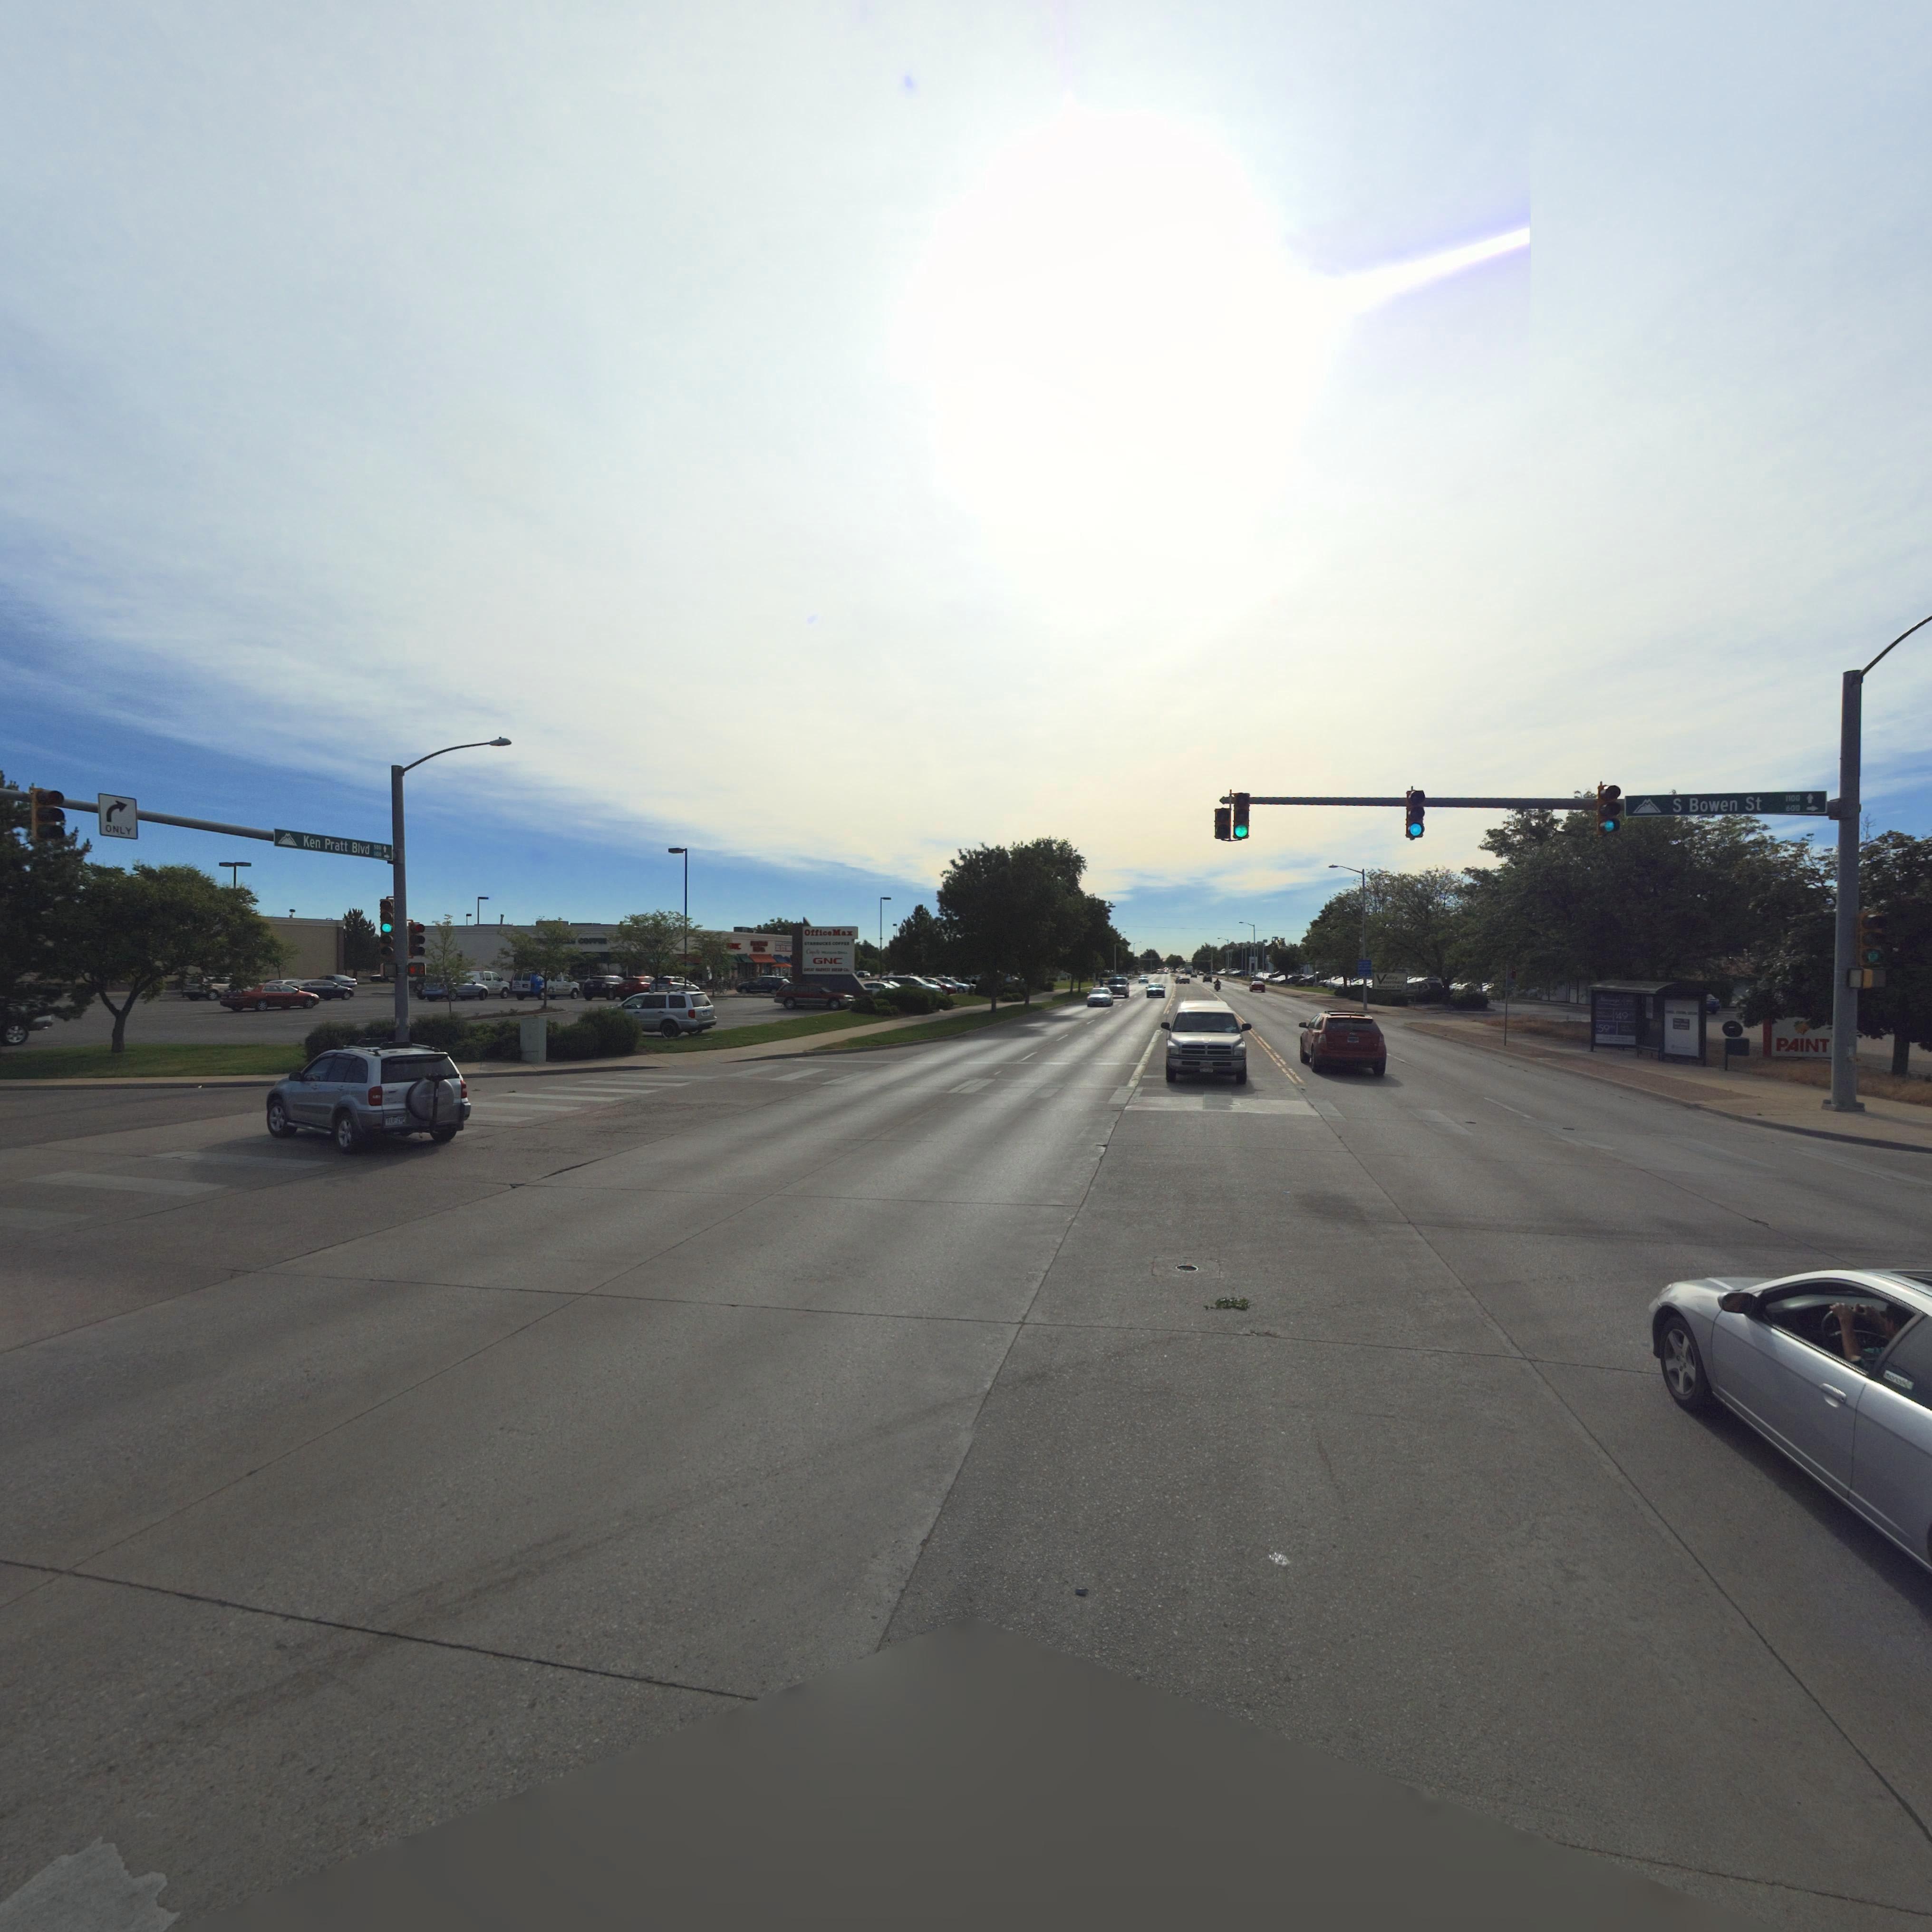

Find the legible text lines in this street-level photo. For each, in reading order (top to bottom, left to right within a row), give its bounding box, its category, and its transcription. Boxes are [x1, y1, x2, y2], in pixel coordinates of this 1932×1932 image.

[1785, 794, 1800, 802] StreetNumberRange: 1100
[1672, 796, 1762, 813] StreetName: S Bowen St
[1785, 804, 1819, 812] StreetNumberRange: 600->
[303, 834, 370, 855] StreetName: Ken Pratt Blvd
[373, 844, 382, 850] StreetNumberRange: 5*0
[372, 850, 391, 859] StreetNumberRange: 1**0->
[803, 929, 852, 936] BusinessName: Office Max
[577, 937, 607, 944] BusinessName: CO***E
[726, 942, 742, 949] BusinessName: **C
[803, 941, 850, 945] BusinessName: STAR*UC*S CO****
[805, 948, 848, 956] BusinessName: C******* M*****N G***L
[812, 957, 842, 965] BusinessName: GNC
[803, 967, 850, 972] BusinessName: G***T ***VEST **EAD CO.
[1374, 973, 1387, 985] BusinessName: V
[1376, 985, 1405, 988] BusinessName: Hospital P.C.
[1385, 975, 1398, 980] BusinessName: all*y
[1382, 979, 1405, 986] BusinessName: eterinary
[1776, 1037, 1830, 1053] BusinessName: PAINT